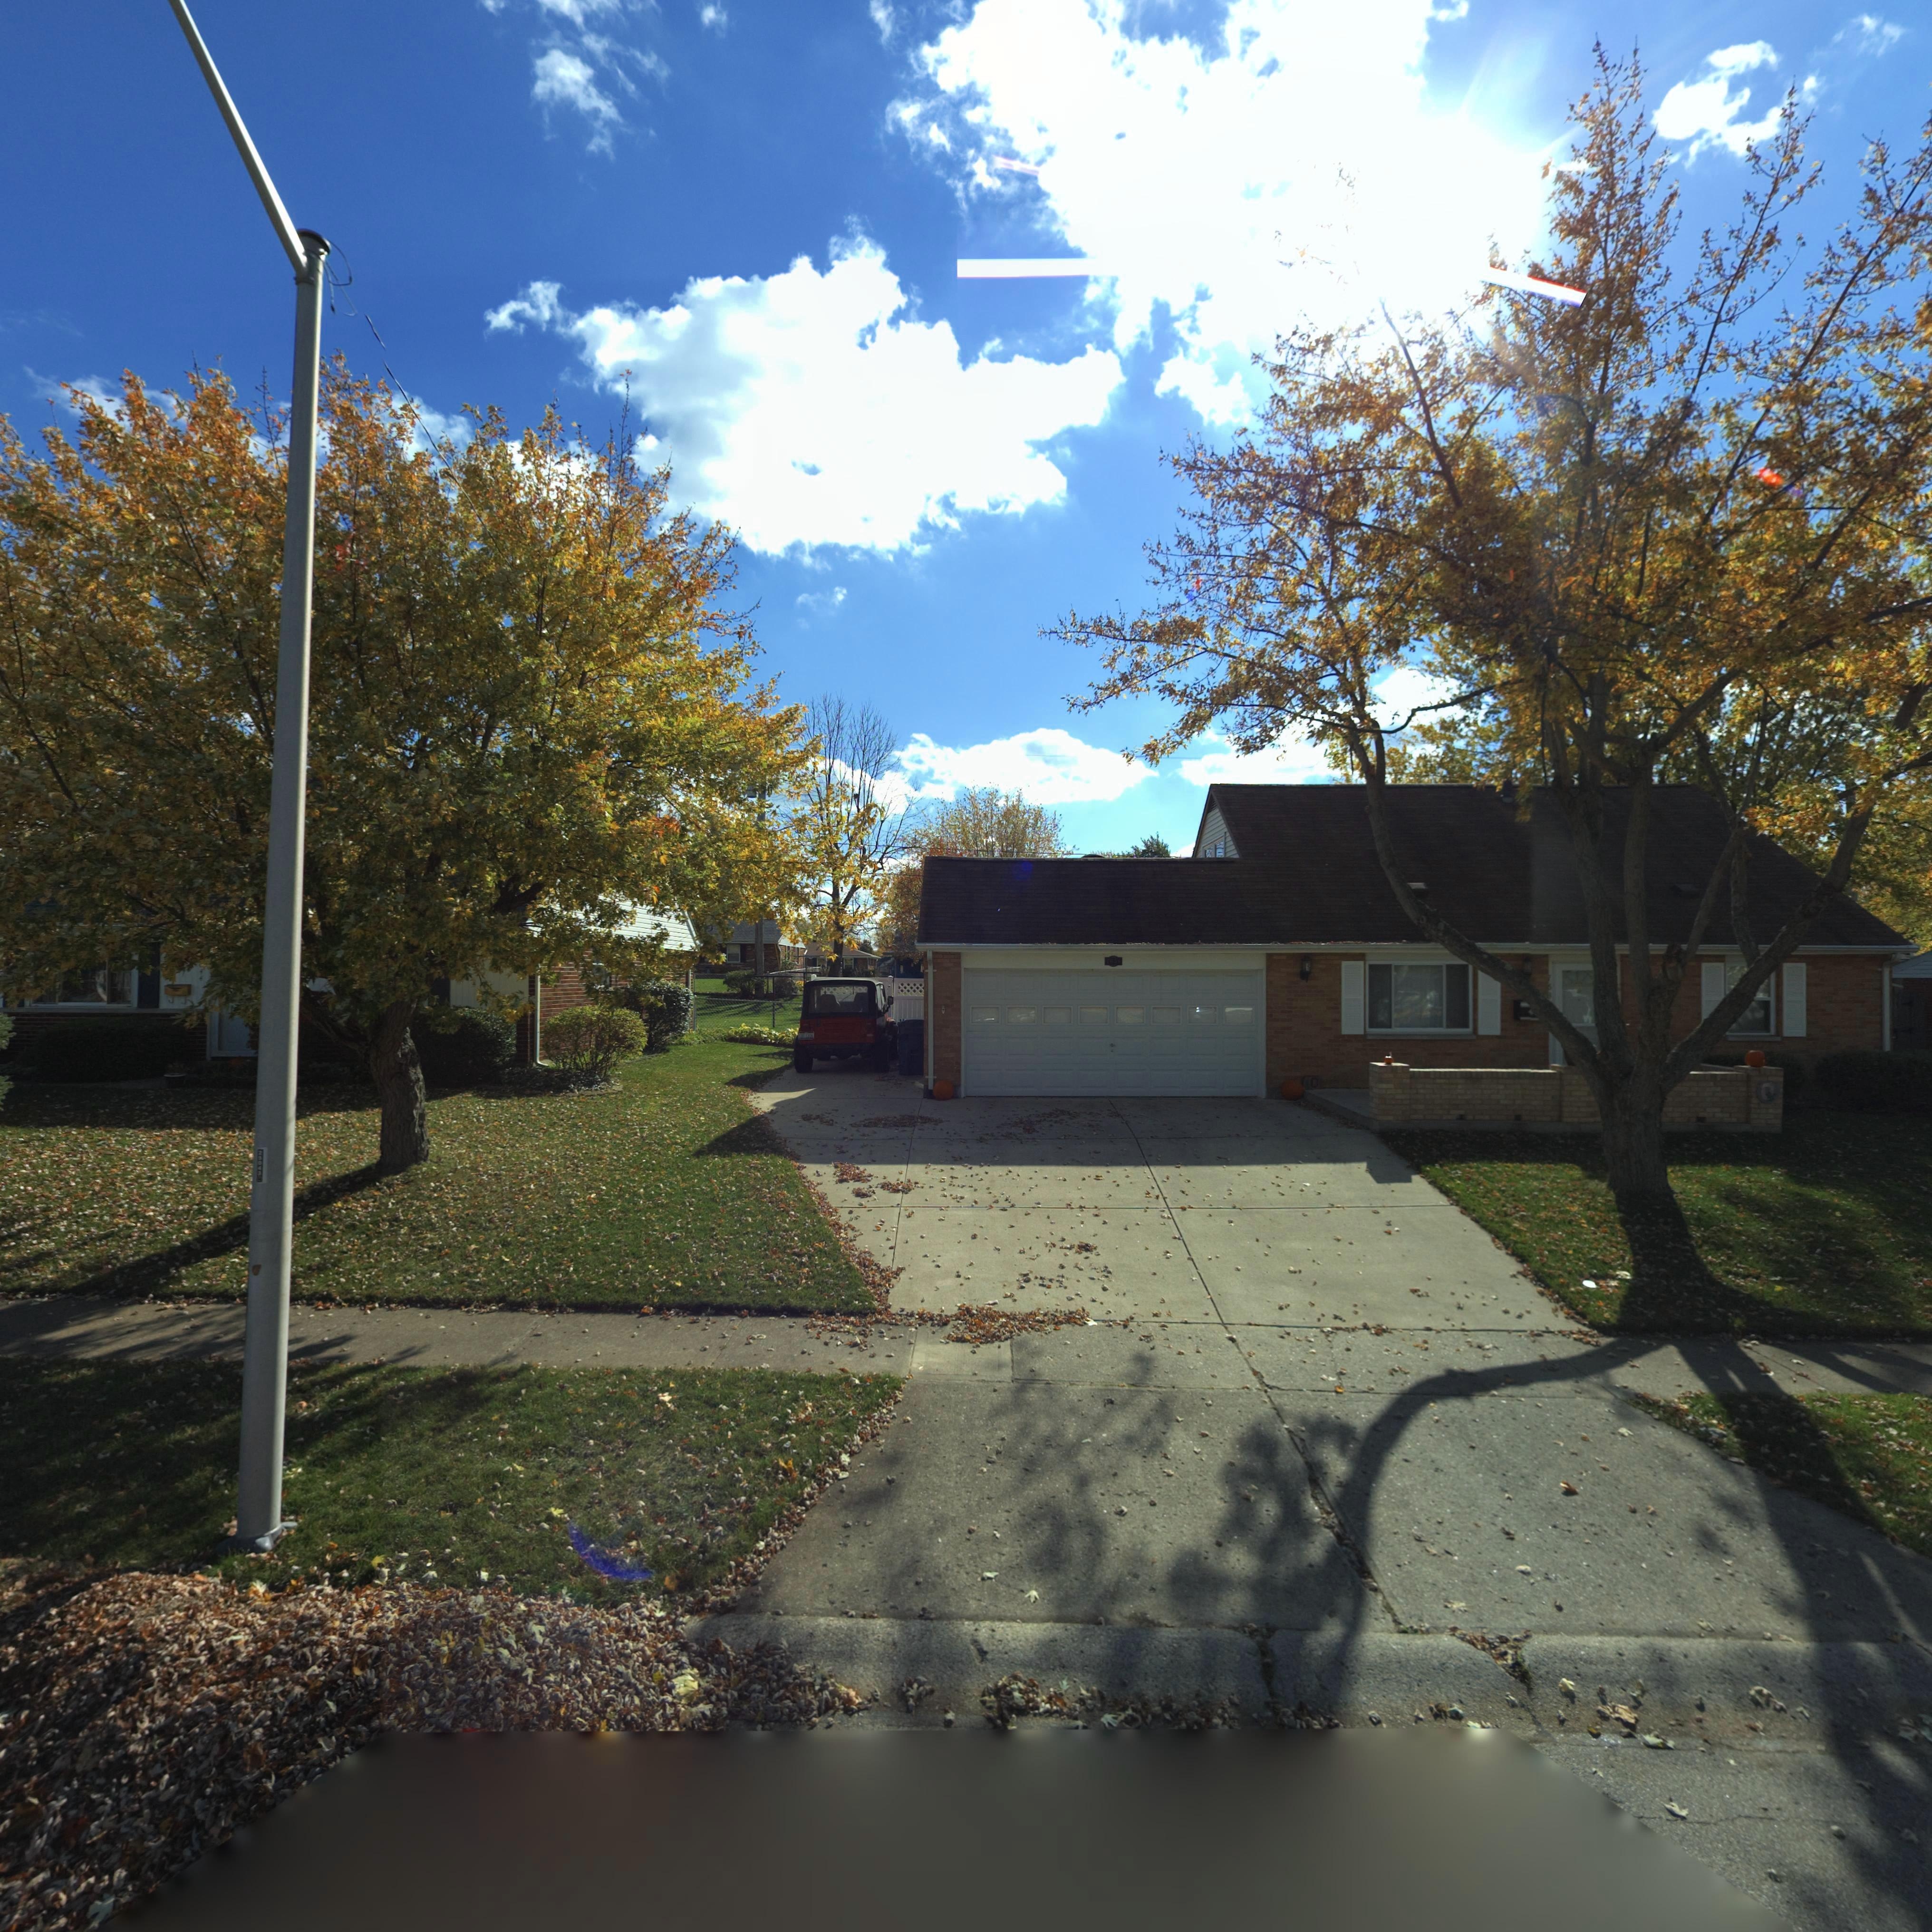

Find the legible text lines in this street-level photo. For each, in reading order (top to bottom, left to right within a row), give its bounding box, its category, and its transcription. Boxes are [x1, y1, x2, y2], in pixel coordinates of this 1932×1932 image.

[1106, 957, 1121, 965] StreetNumber: 7656
[199, 967, 203, 982] StreetNumber: 44
[1546, 974, 1552, 999] StreetNumber: 768